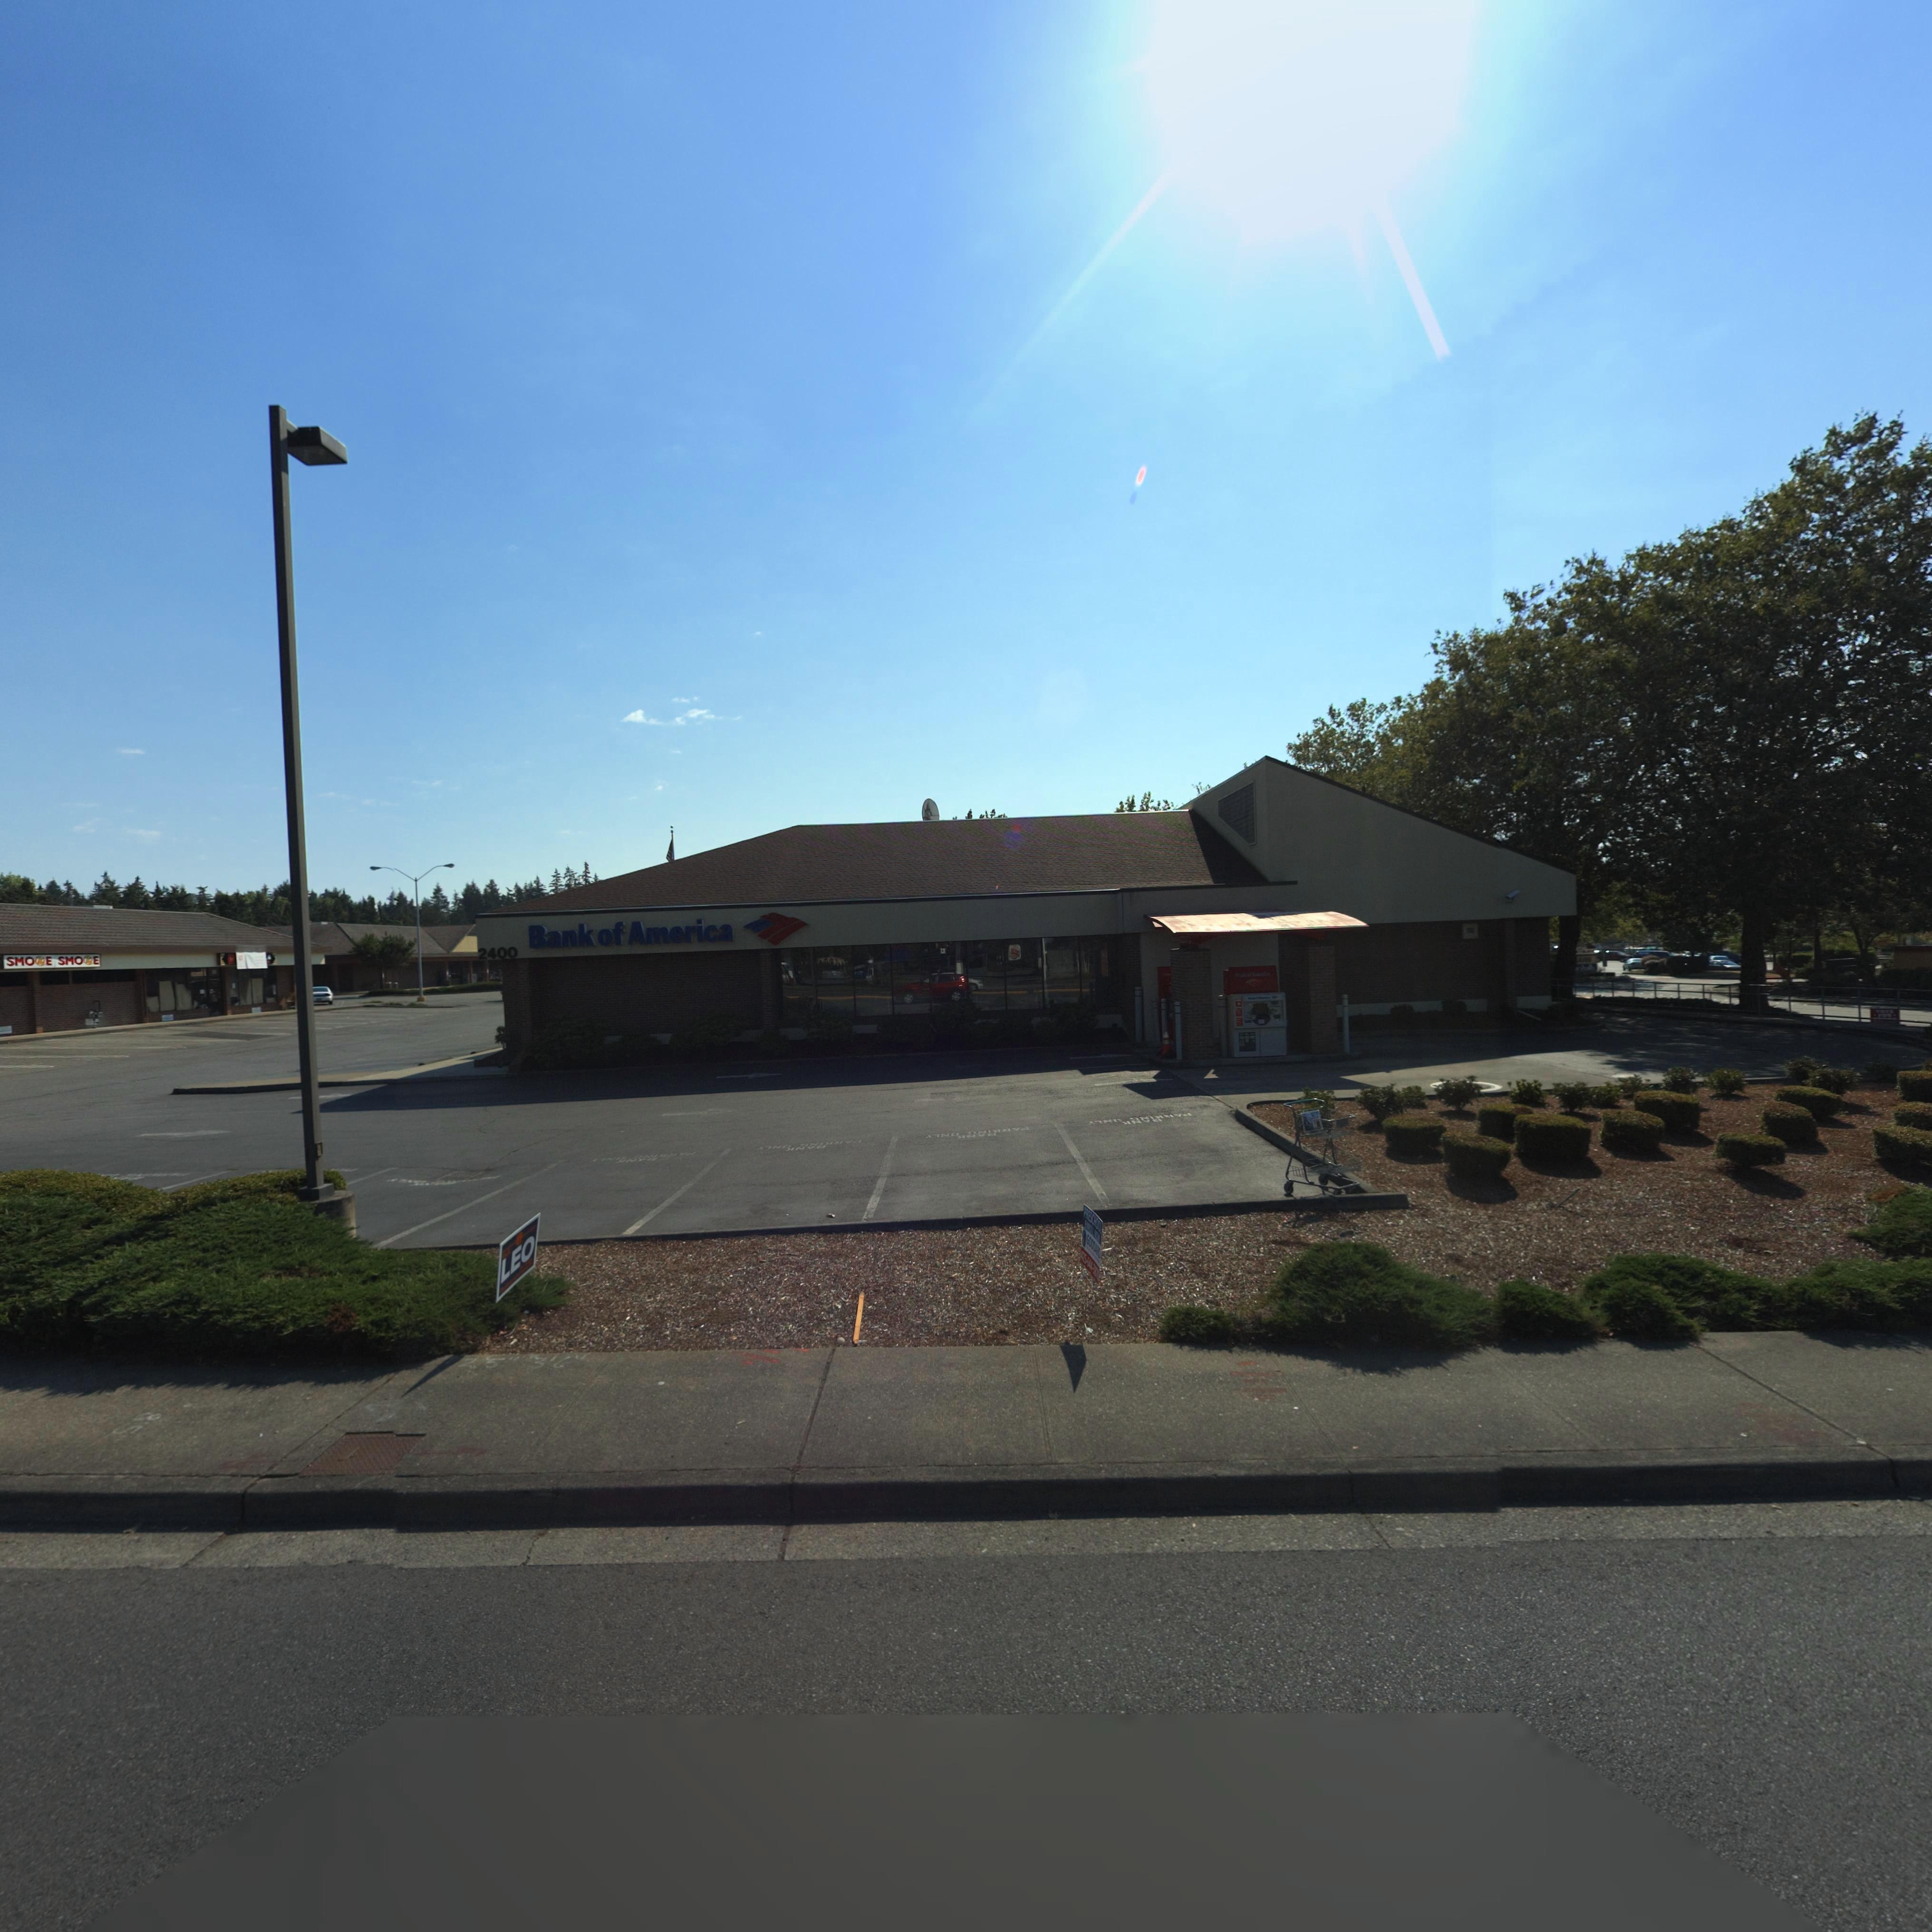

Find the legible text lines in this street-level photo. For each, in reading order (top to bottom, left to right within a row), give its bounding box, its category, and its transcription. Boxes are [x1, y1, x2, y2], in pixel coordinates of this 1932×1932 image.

[528, 918, 733, 948] BusinessName: Bank of America
[478, 947, 517, 958] StreetNumber: 2400
[6, 956, 98, 966] BusinessName: SMO*E SMO*E